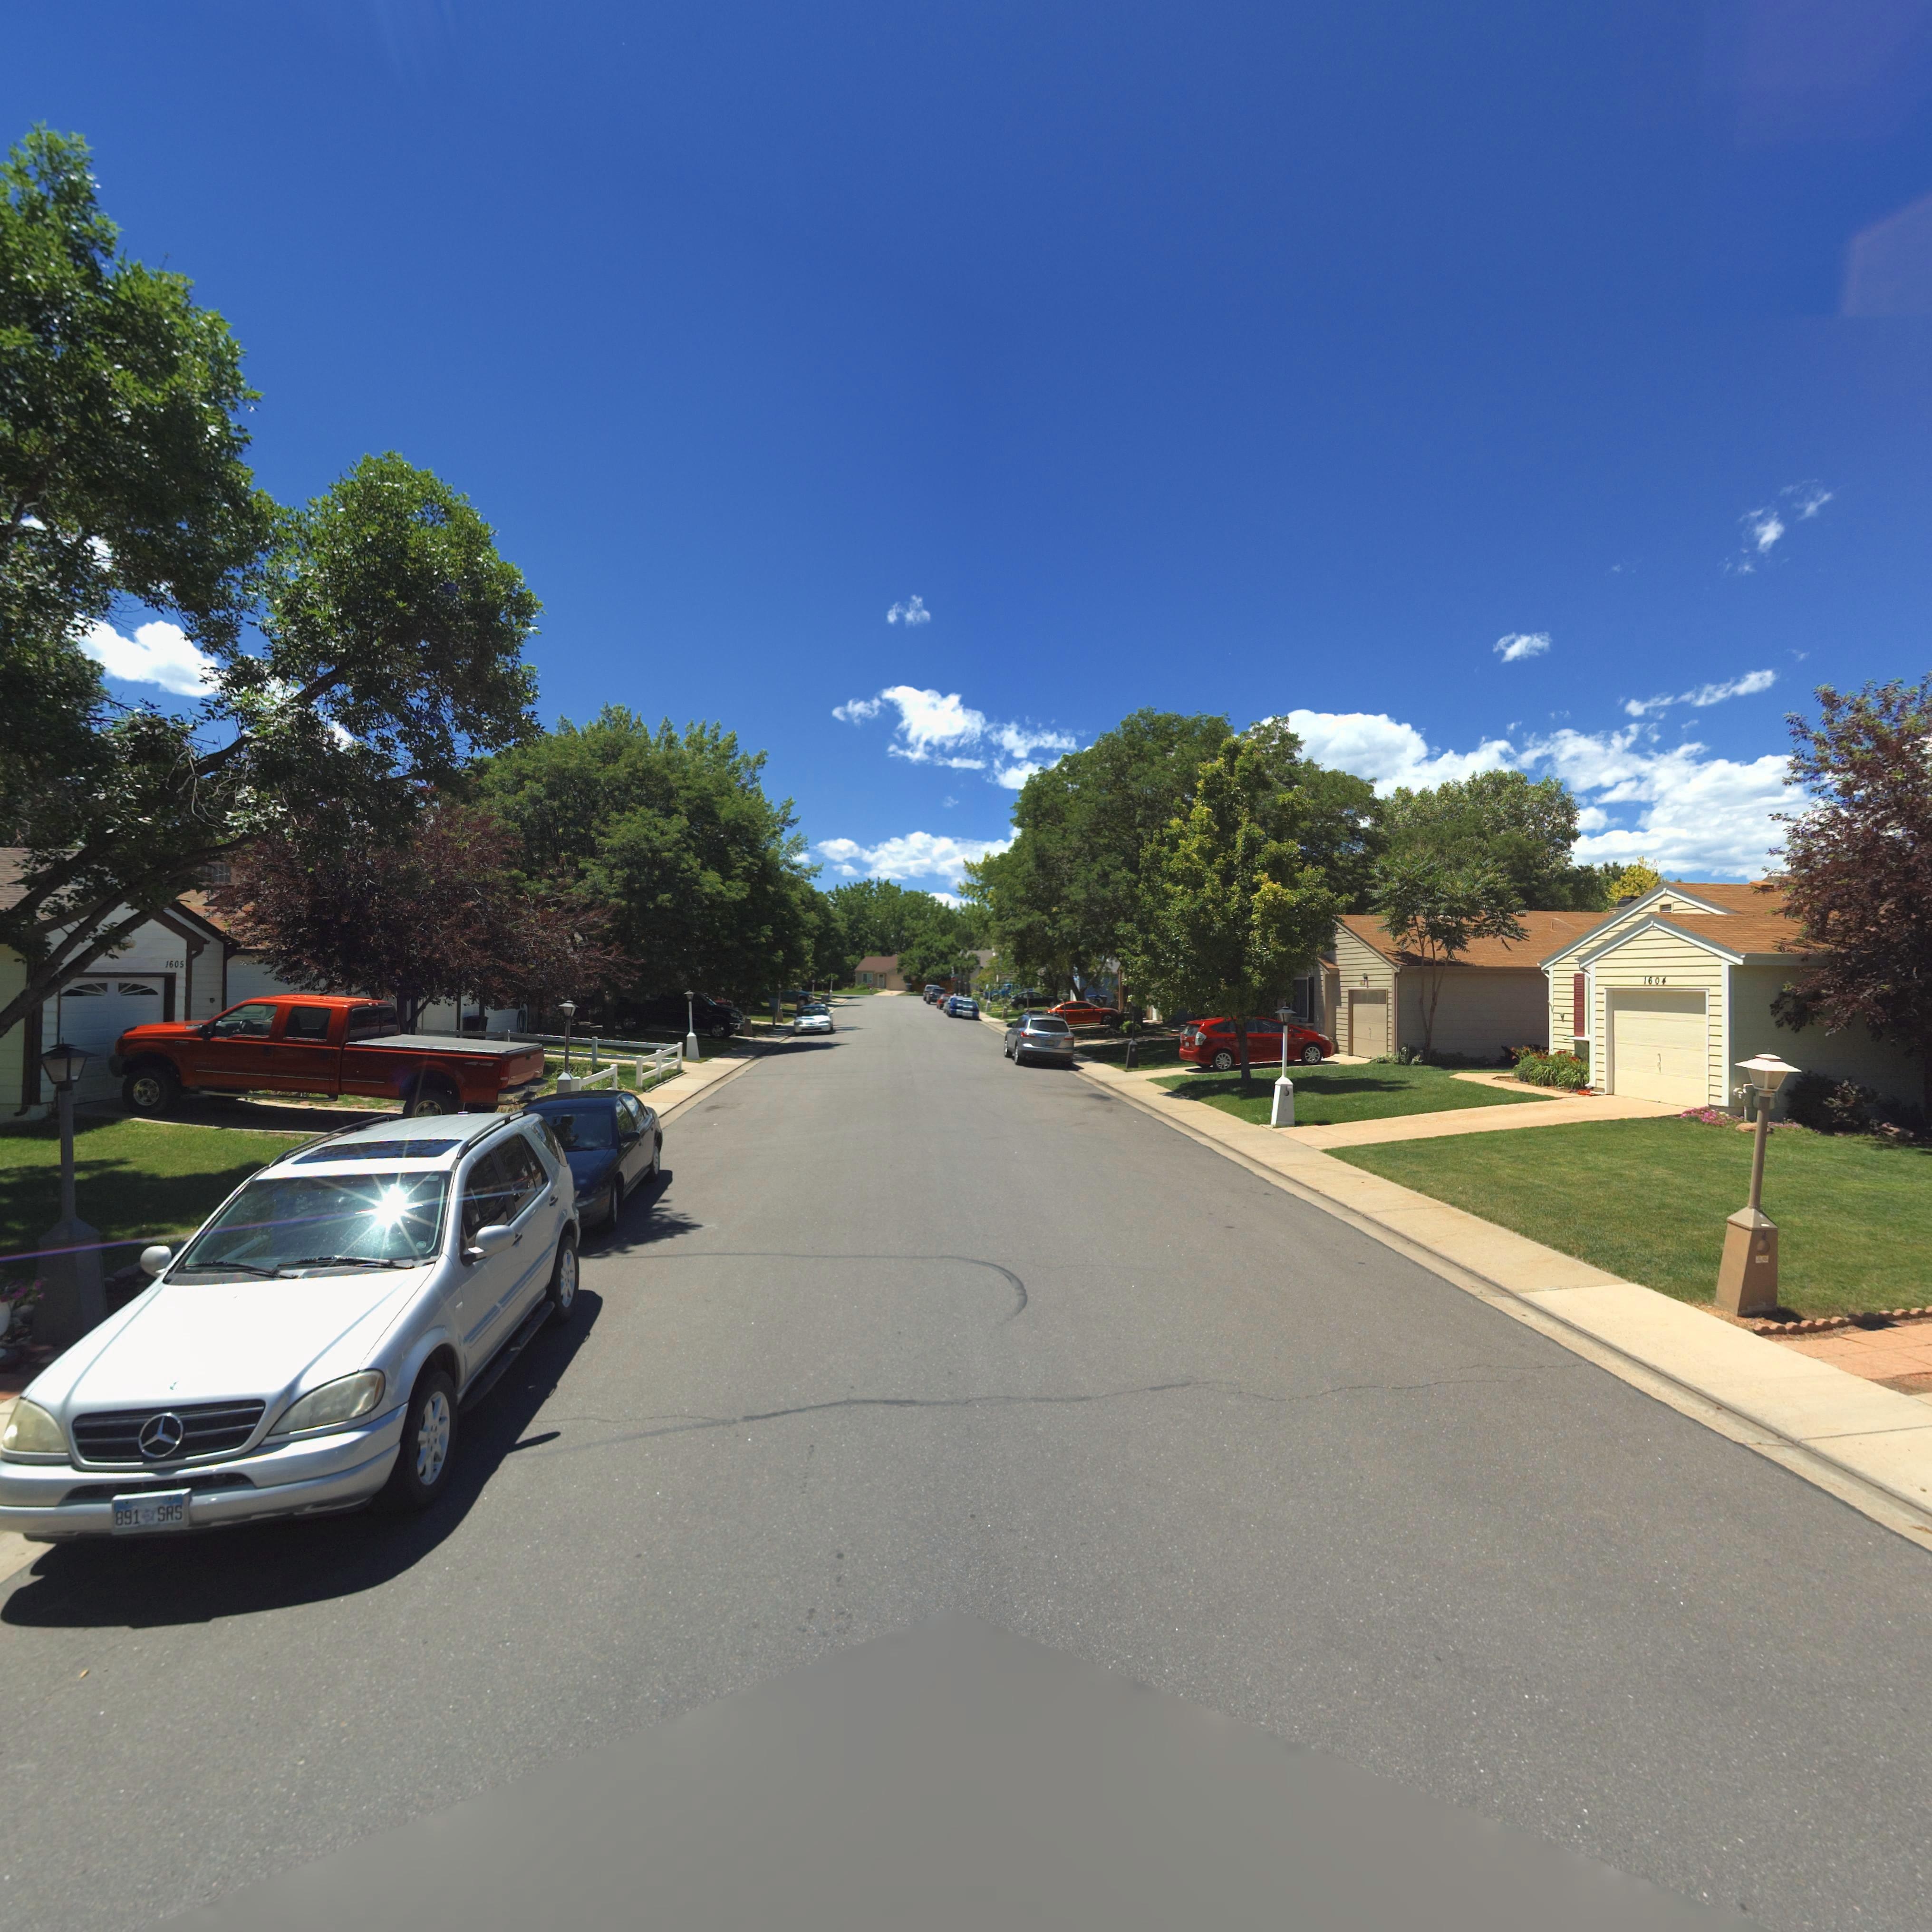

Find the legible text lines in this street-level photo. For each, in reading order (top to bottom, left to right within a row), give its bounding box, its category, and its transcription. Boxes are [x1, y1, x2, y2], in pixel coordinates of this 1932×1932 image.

[162, 956, 184, 969] StreetNumber: 1605
[1643, 975, 1667, 985] StreetNumber: 1604